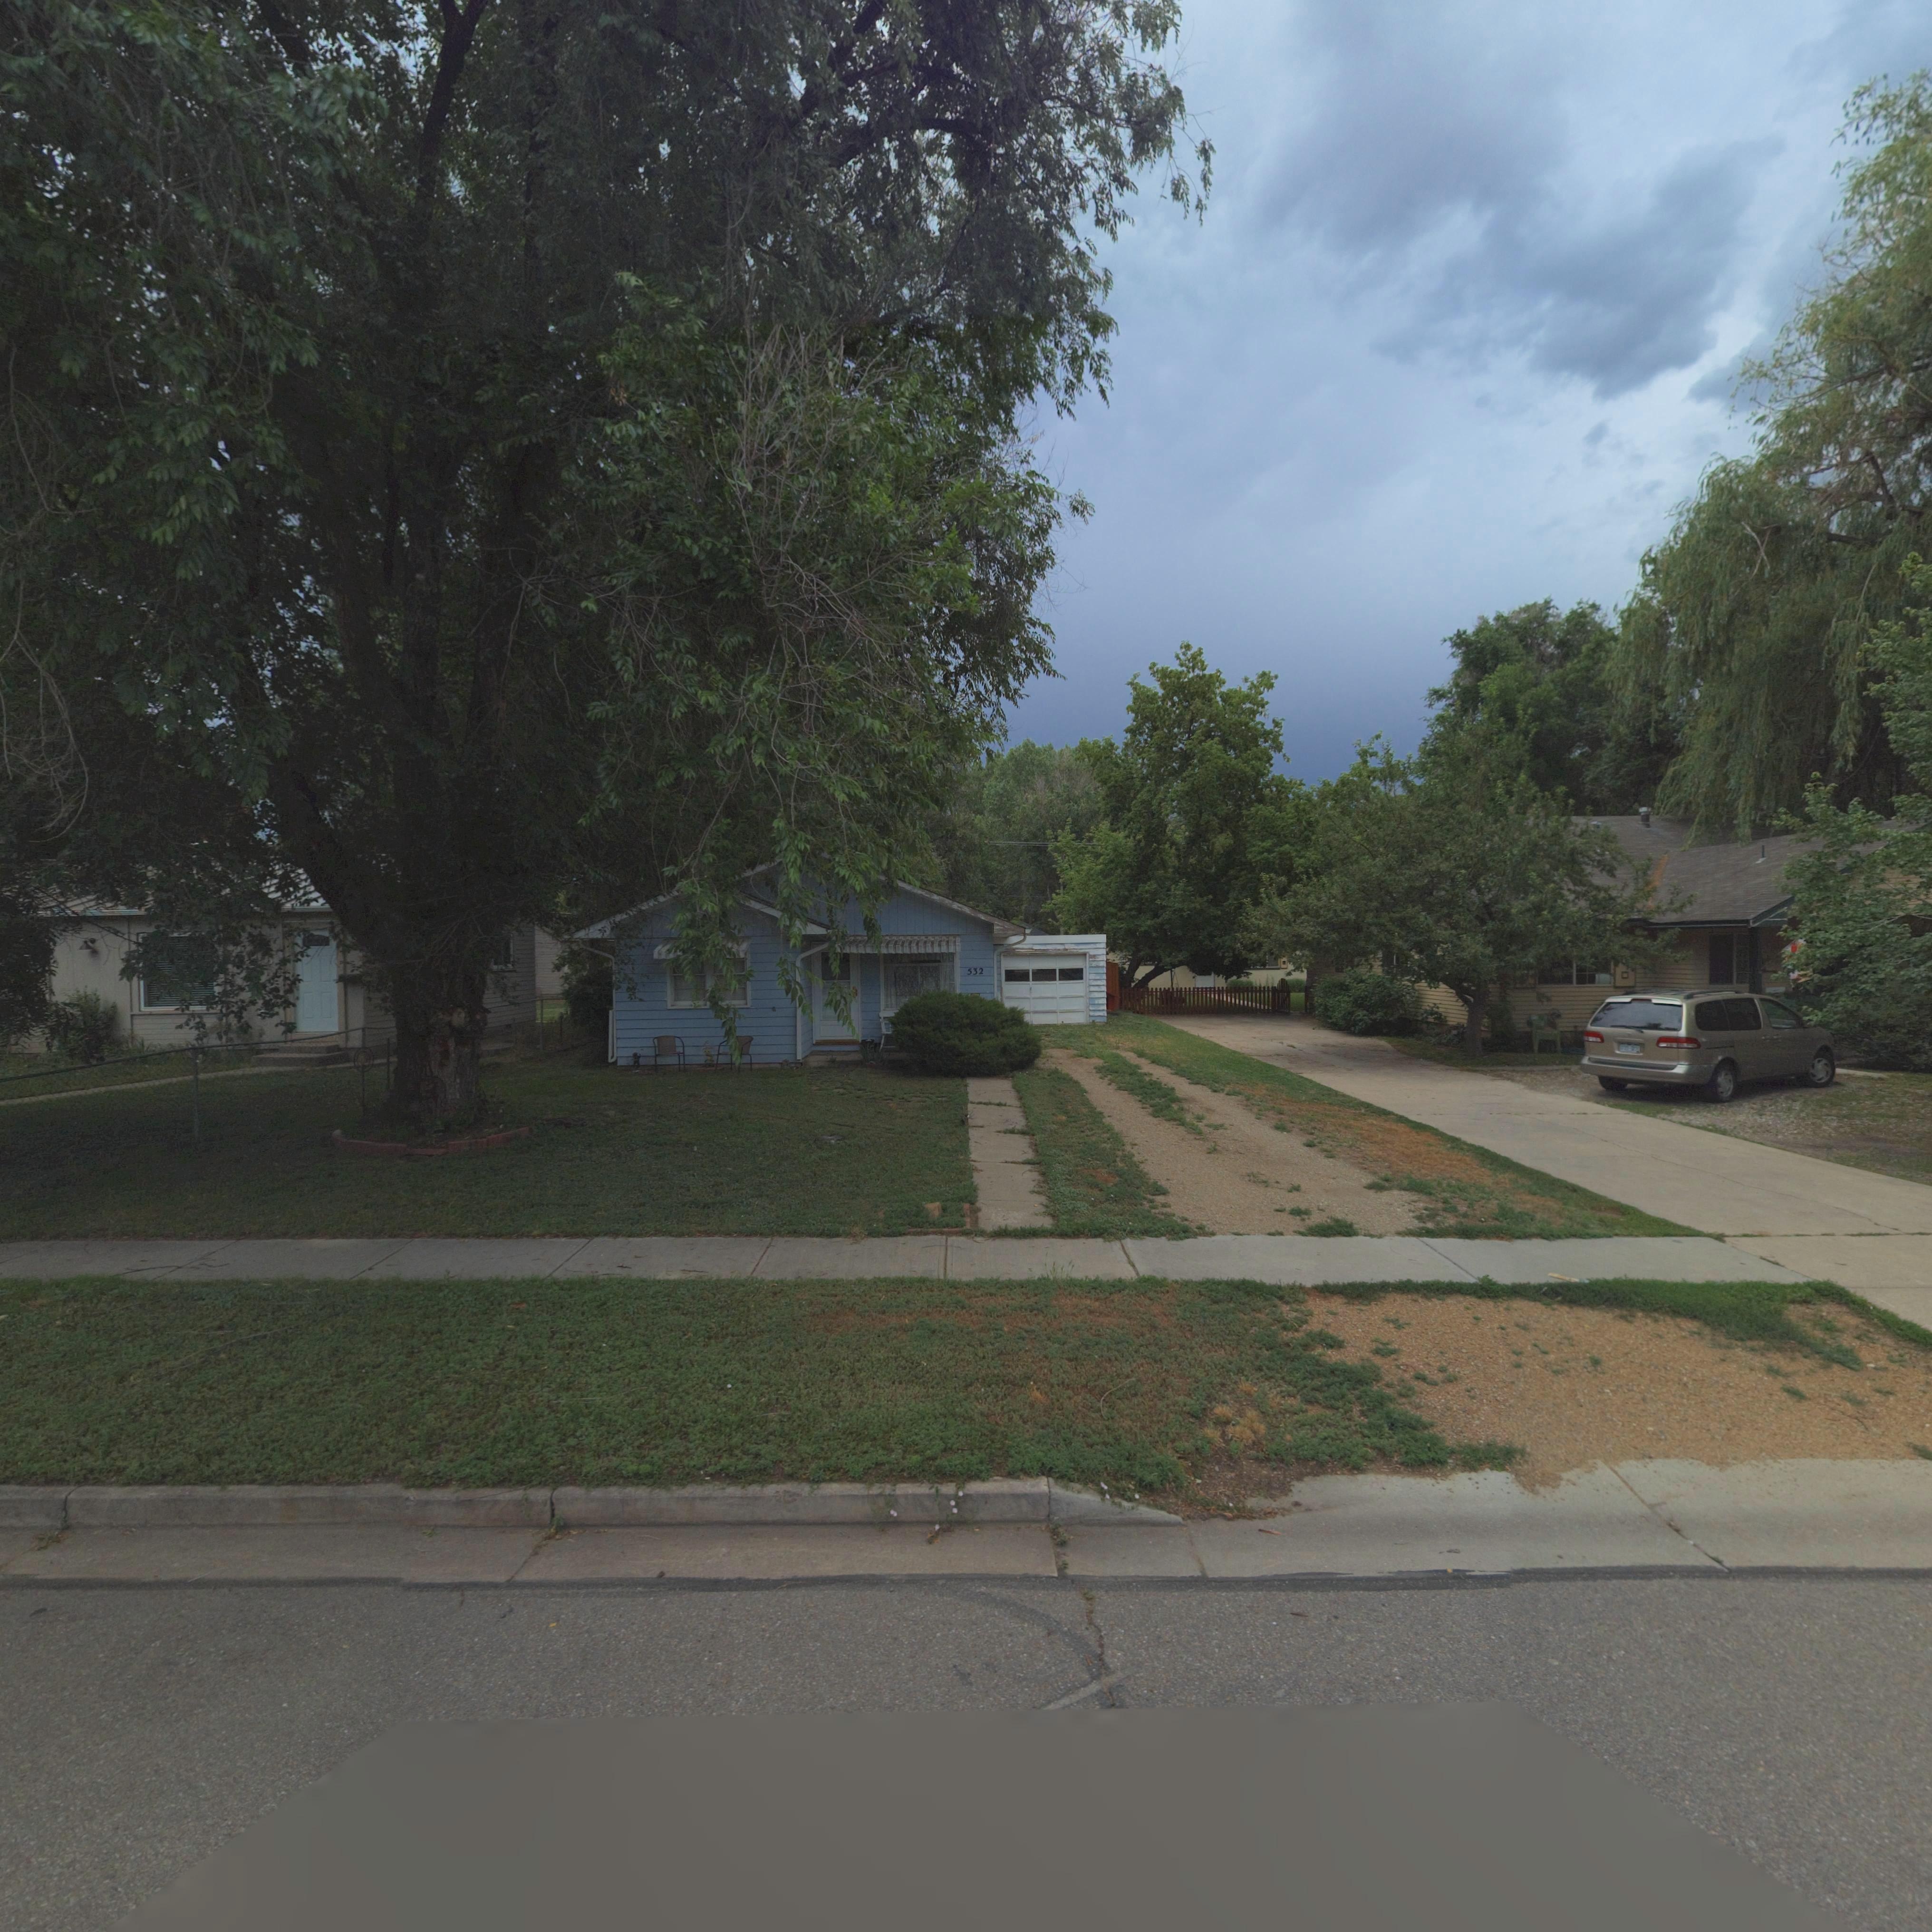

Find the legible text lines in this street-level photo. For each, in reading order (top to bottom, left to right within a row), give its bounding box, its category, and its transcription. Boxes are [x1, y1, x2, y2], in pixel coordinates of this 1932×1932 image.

[966, 967, 984, 976] StreetNumber: 532